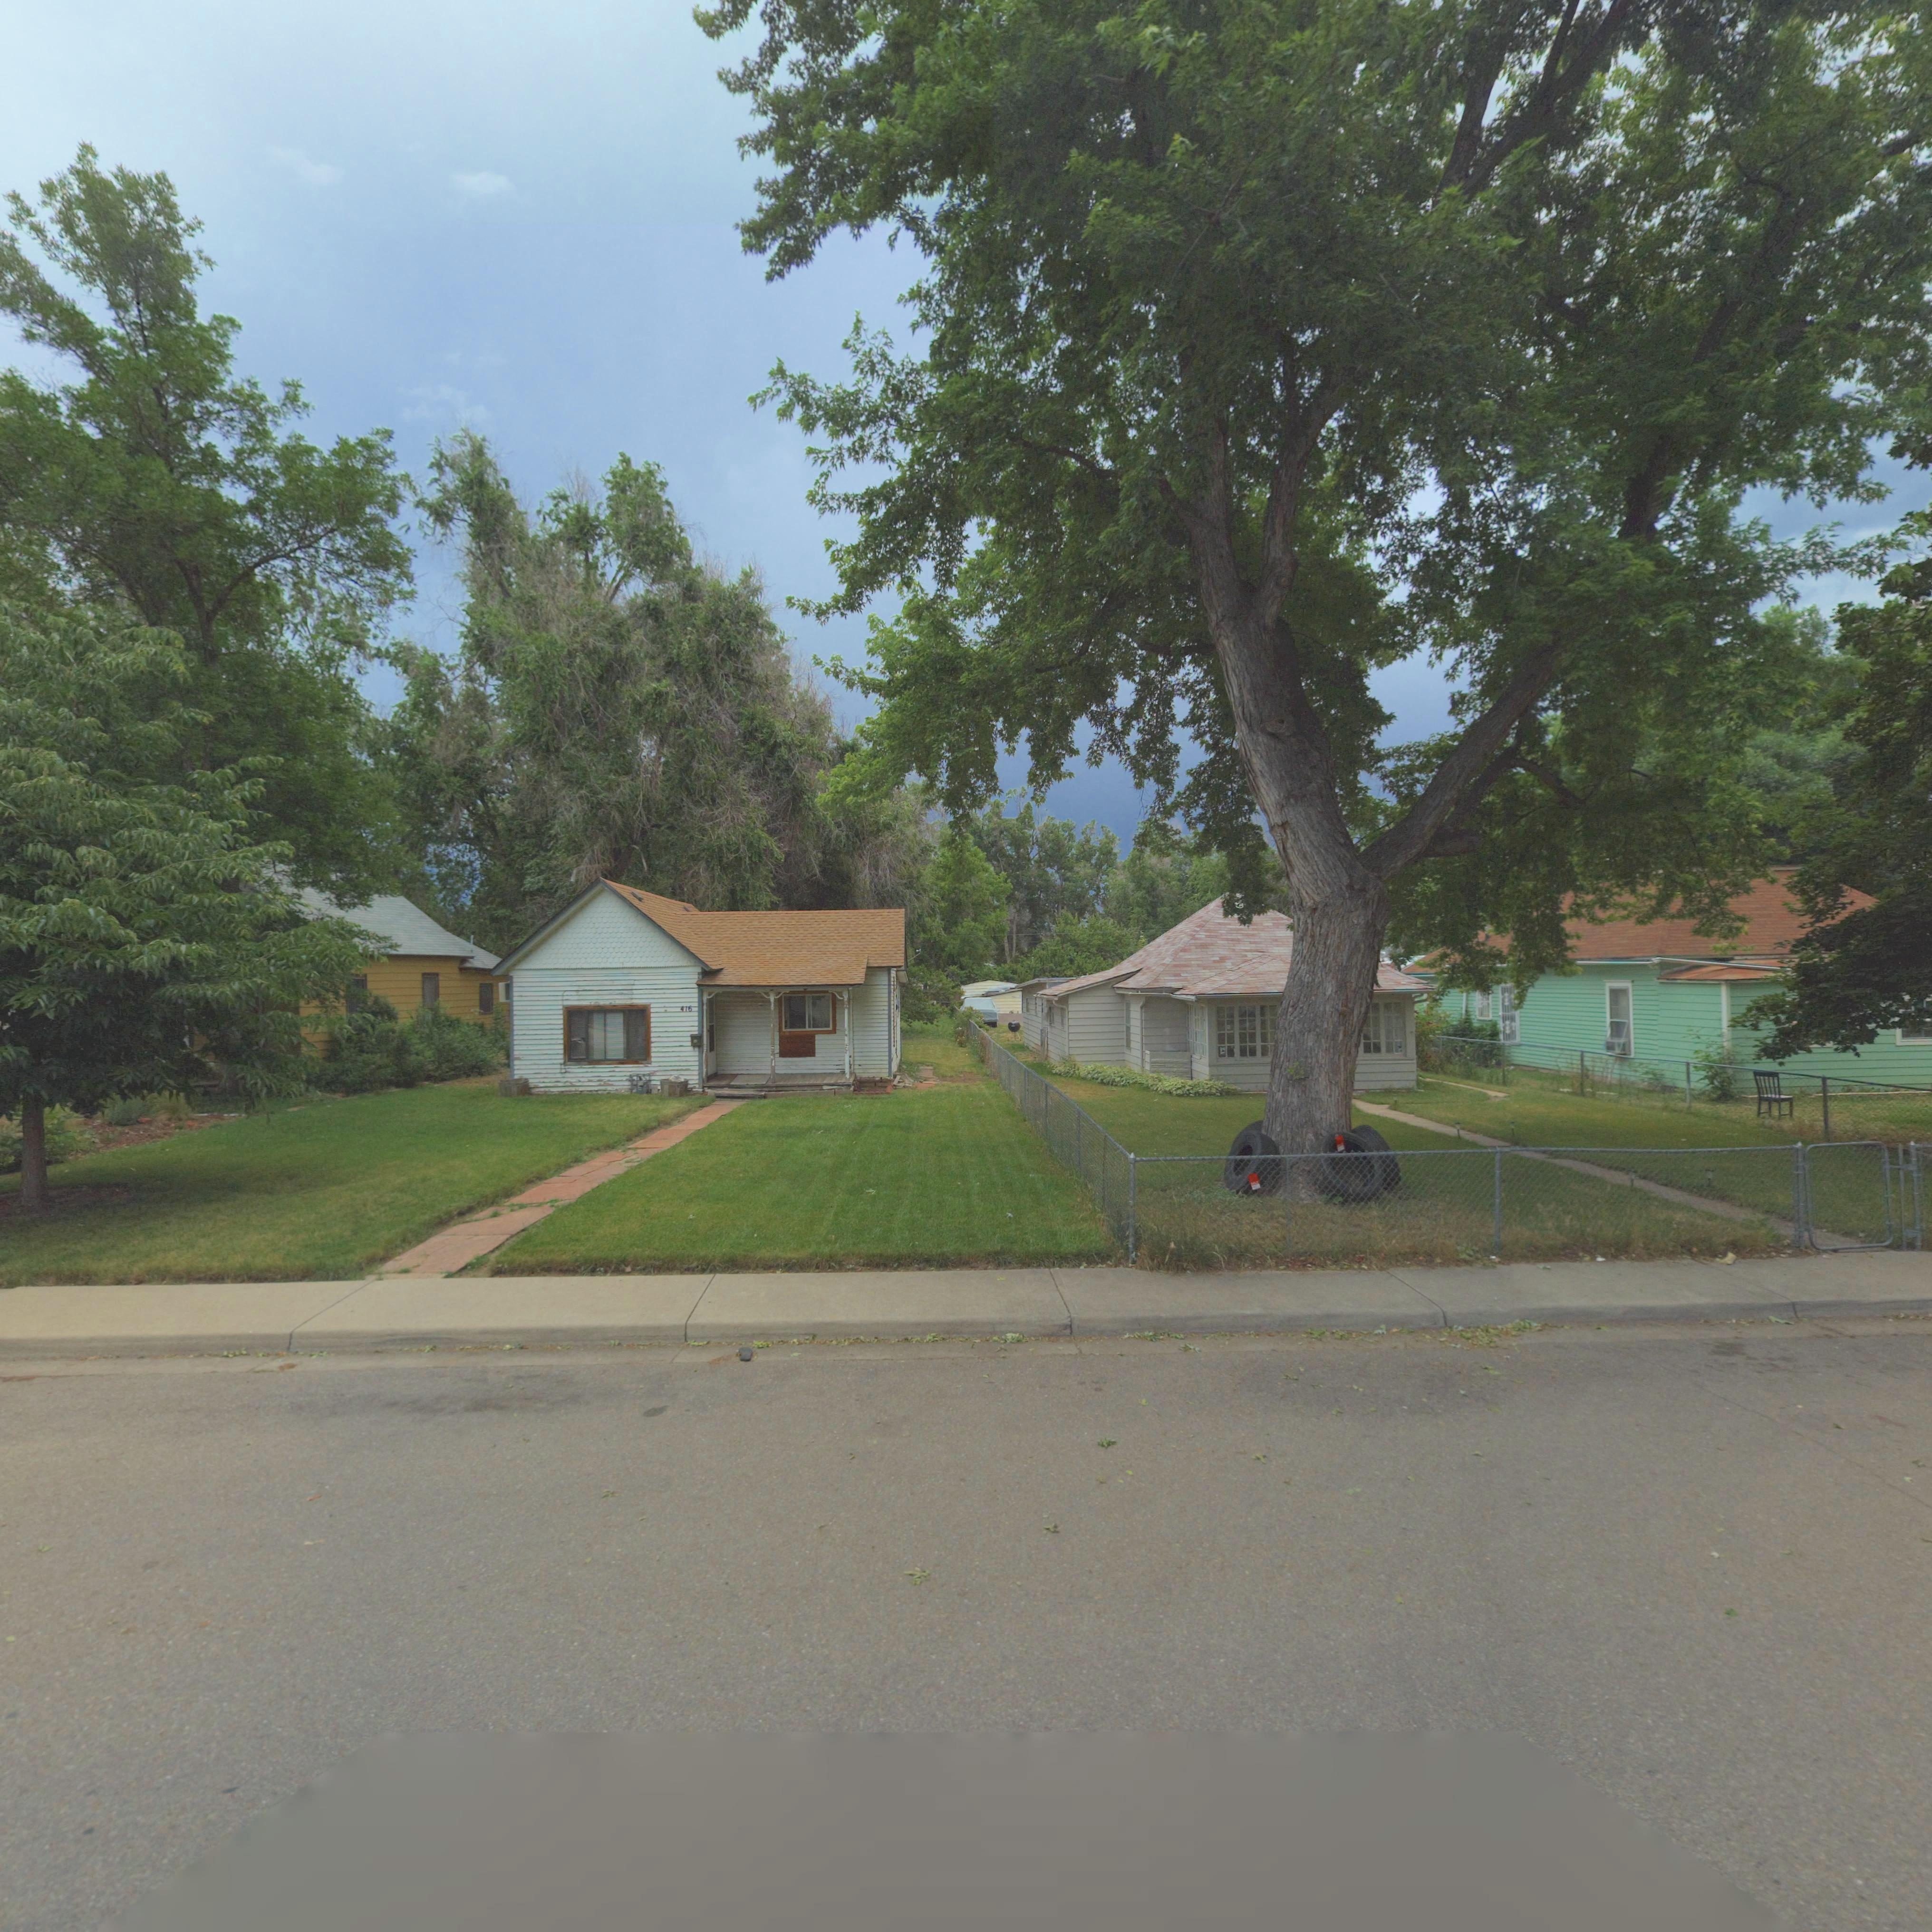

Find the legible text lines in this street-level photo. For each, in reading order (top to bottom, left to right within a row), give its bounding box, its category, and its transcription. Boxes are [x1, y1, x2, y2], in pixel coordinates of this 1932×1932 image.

[680, 1005, 692, 1012] StreetNumber: 416